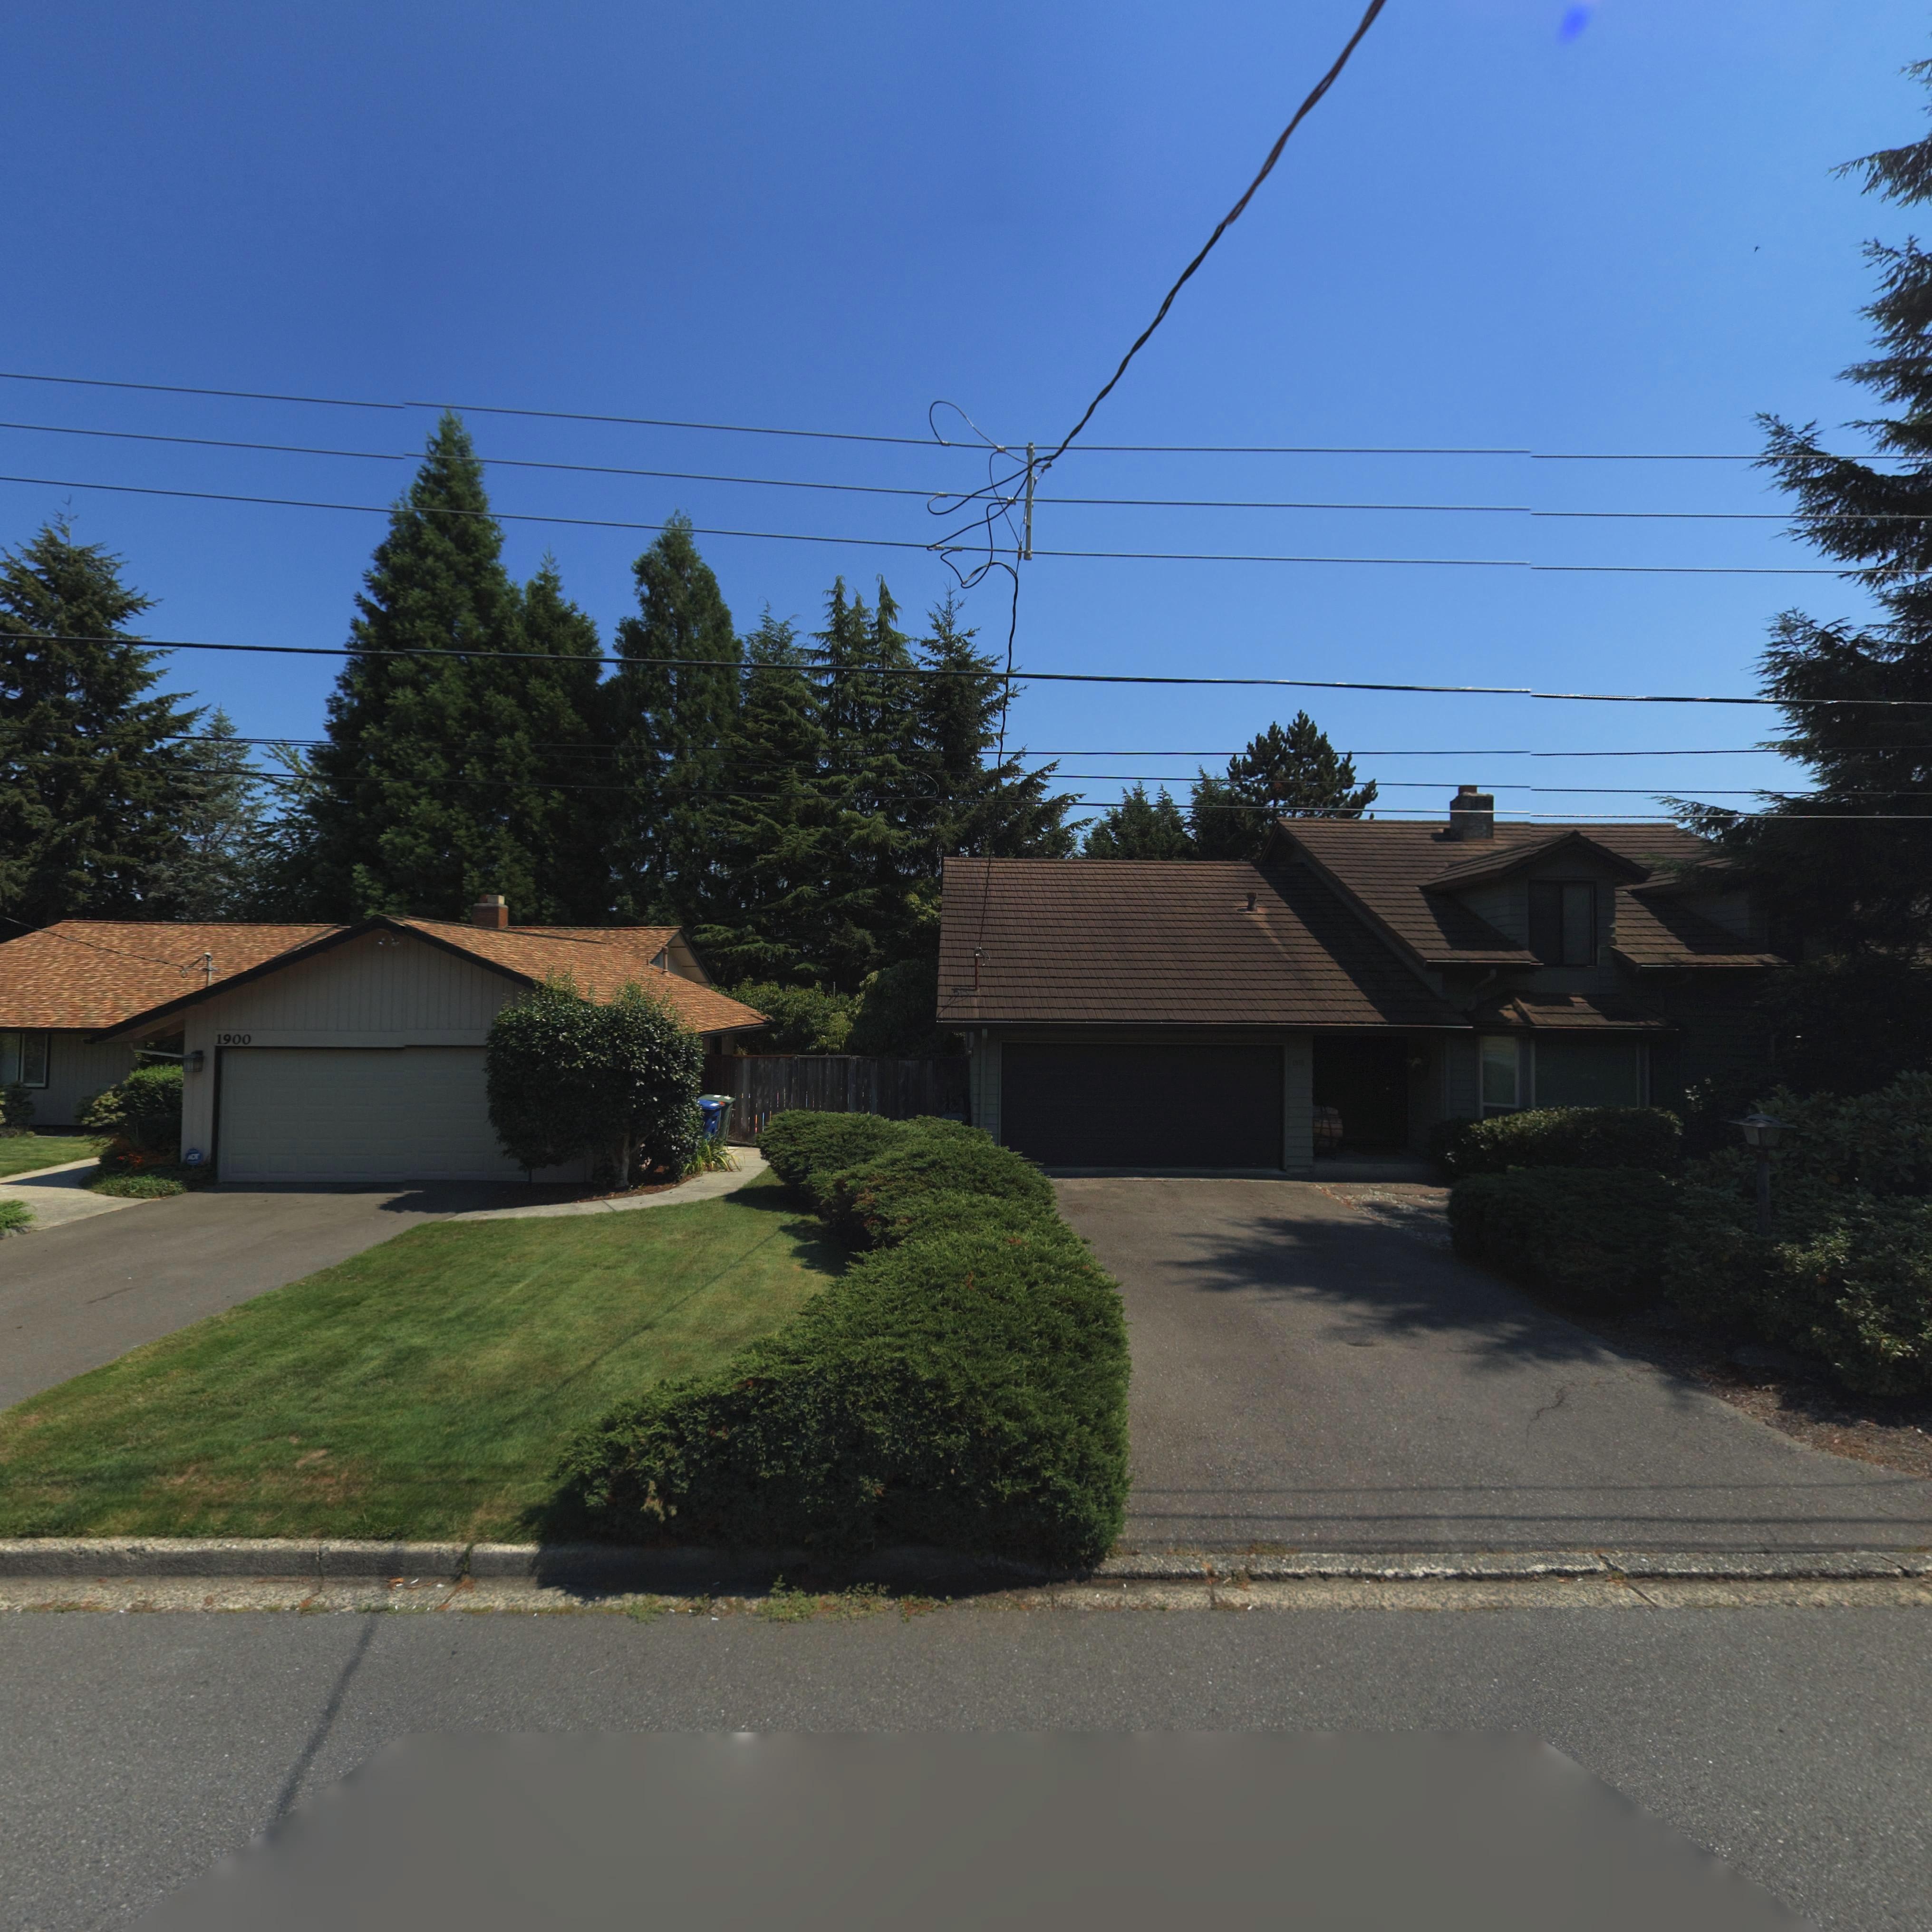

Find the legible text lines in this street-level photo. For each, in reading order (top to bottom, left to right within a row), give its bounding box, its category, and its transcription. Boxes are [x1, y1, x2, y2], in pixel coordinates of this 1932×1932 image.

[217, 1034, 251, 1044] StreetNumber: 1900